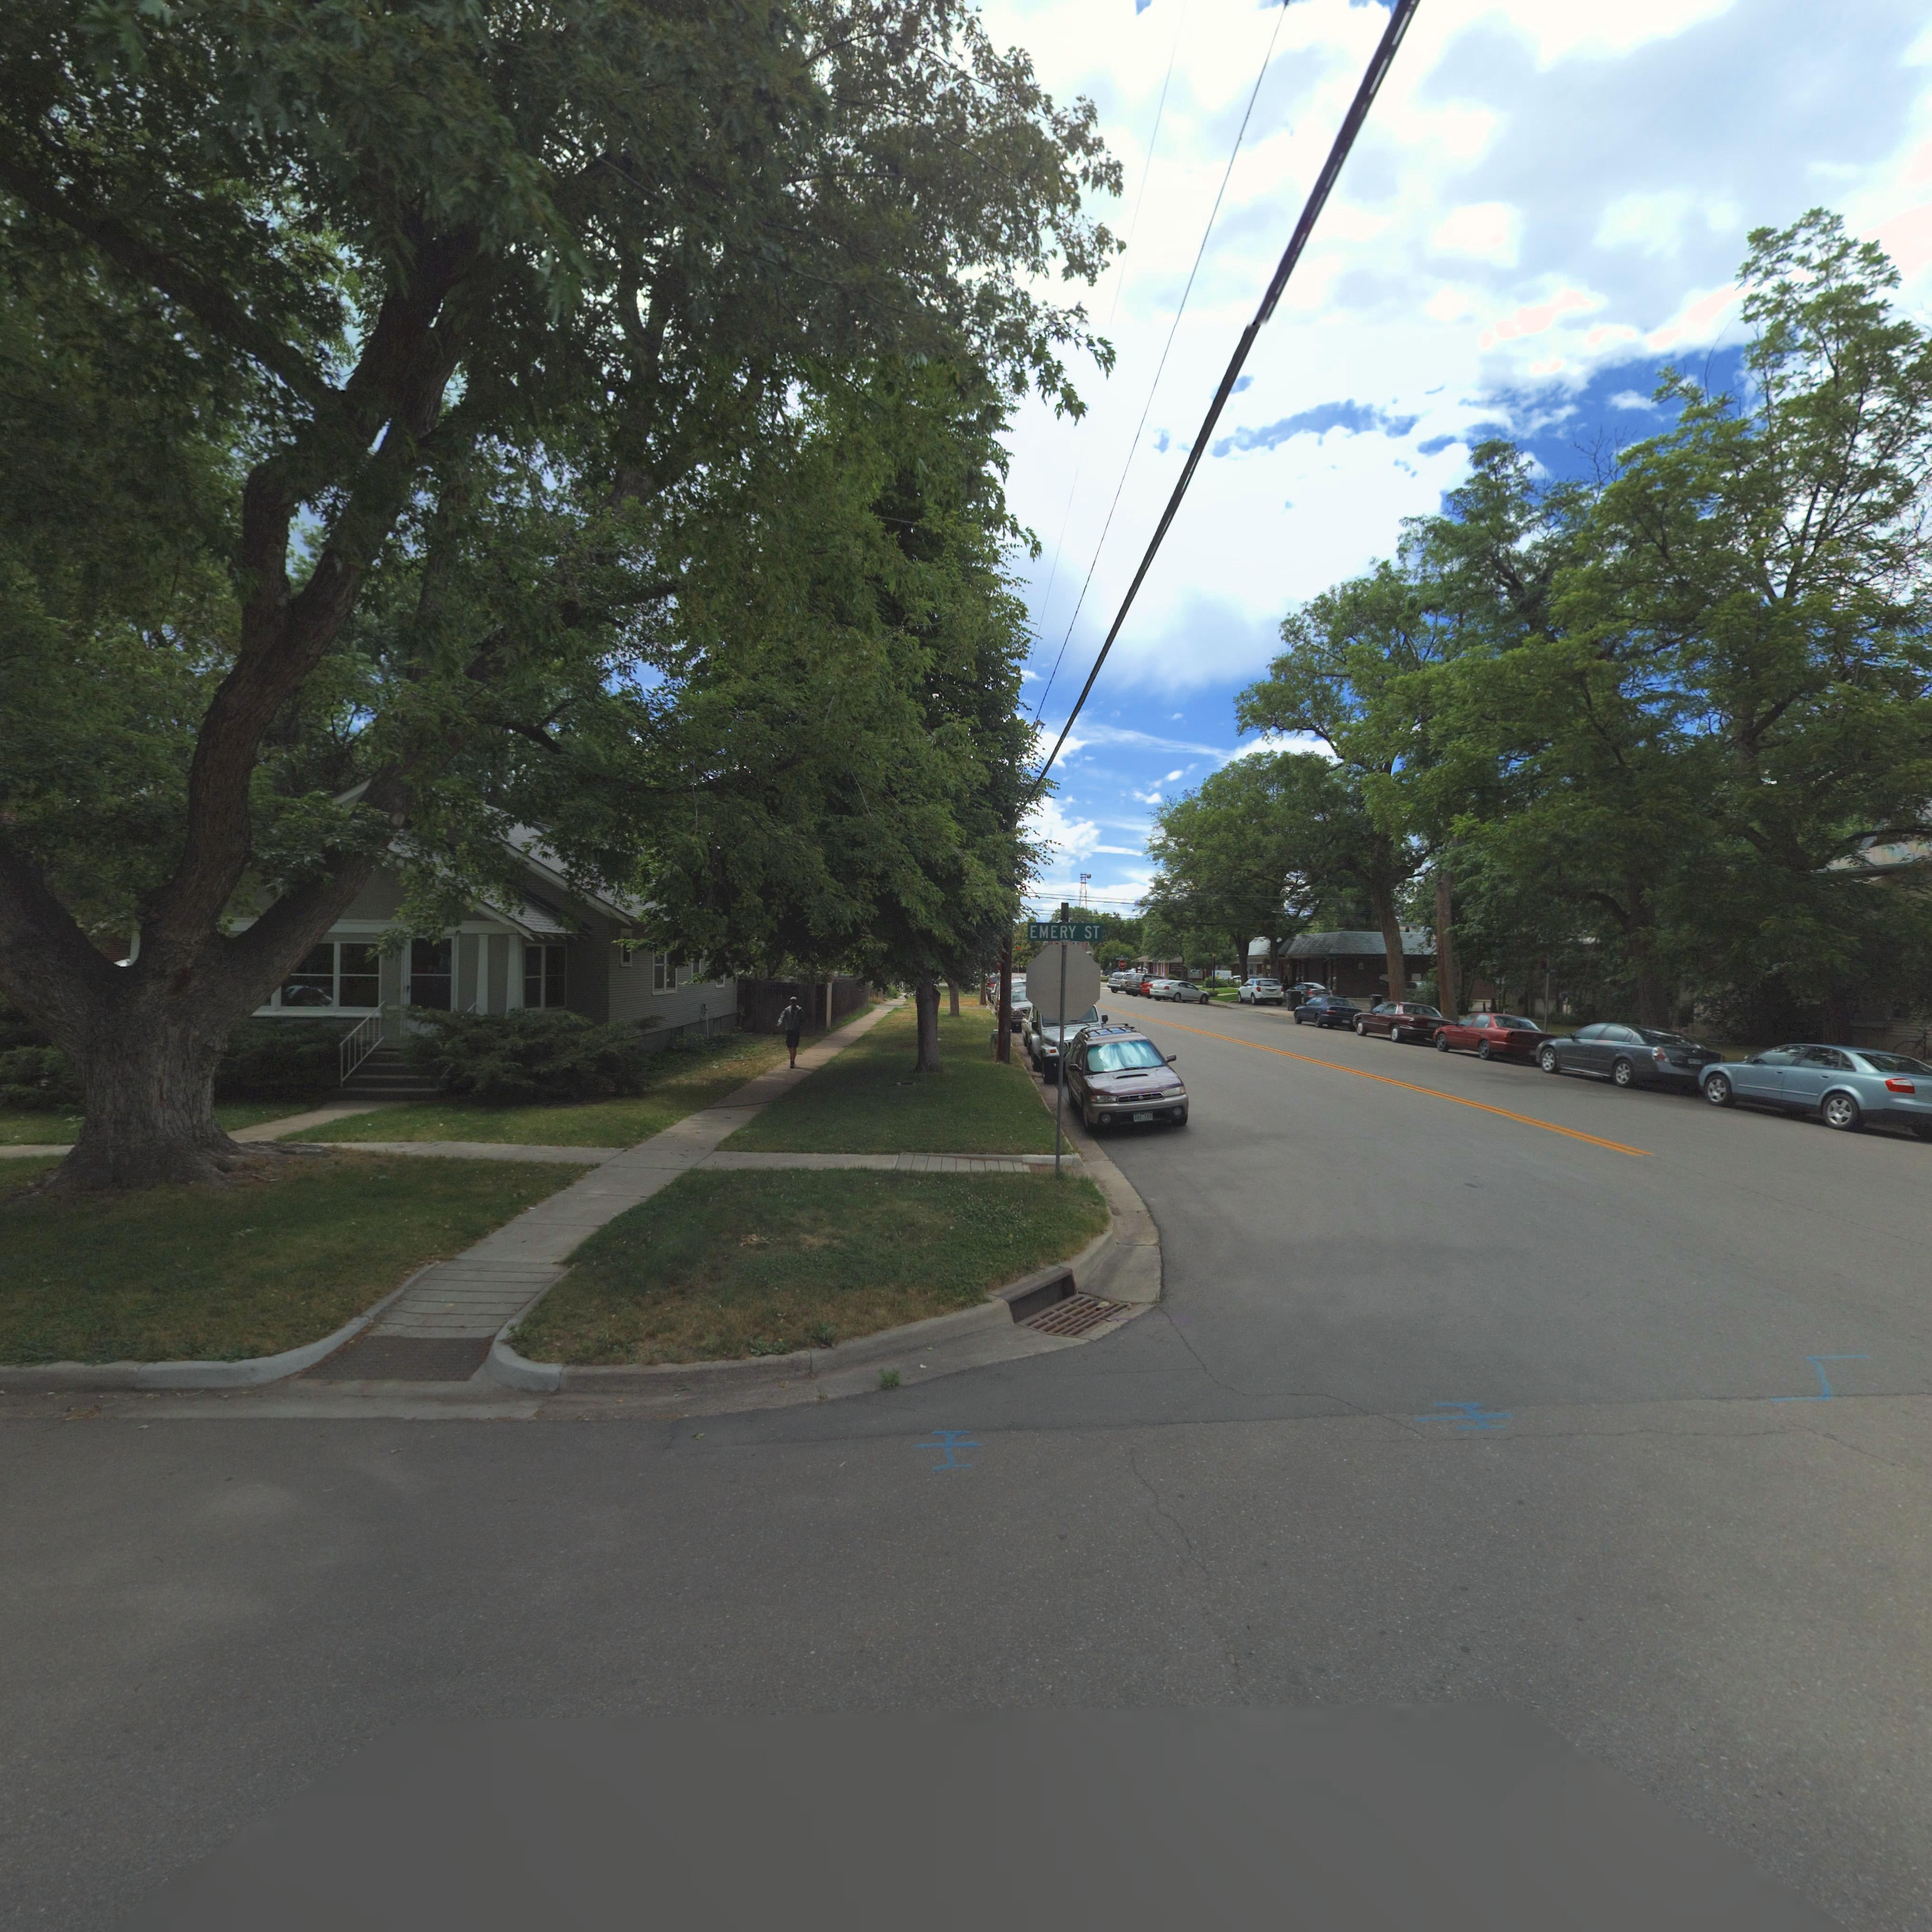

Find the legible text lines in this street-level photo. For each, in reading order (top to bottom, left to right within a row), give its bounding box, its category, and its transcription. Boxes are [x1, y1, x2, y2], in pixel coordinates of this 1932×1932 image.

[1030, 924, 1100, 939] StreetName: EMERY ST